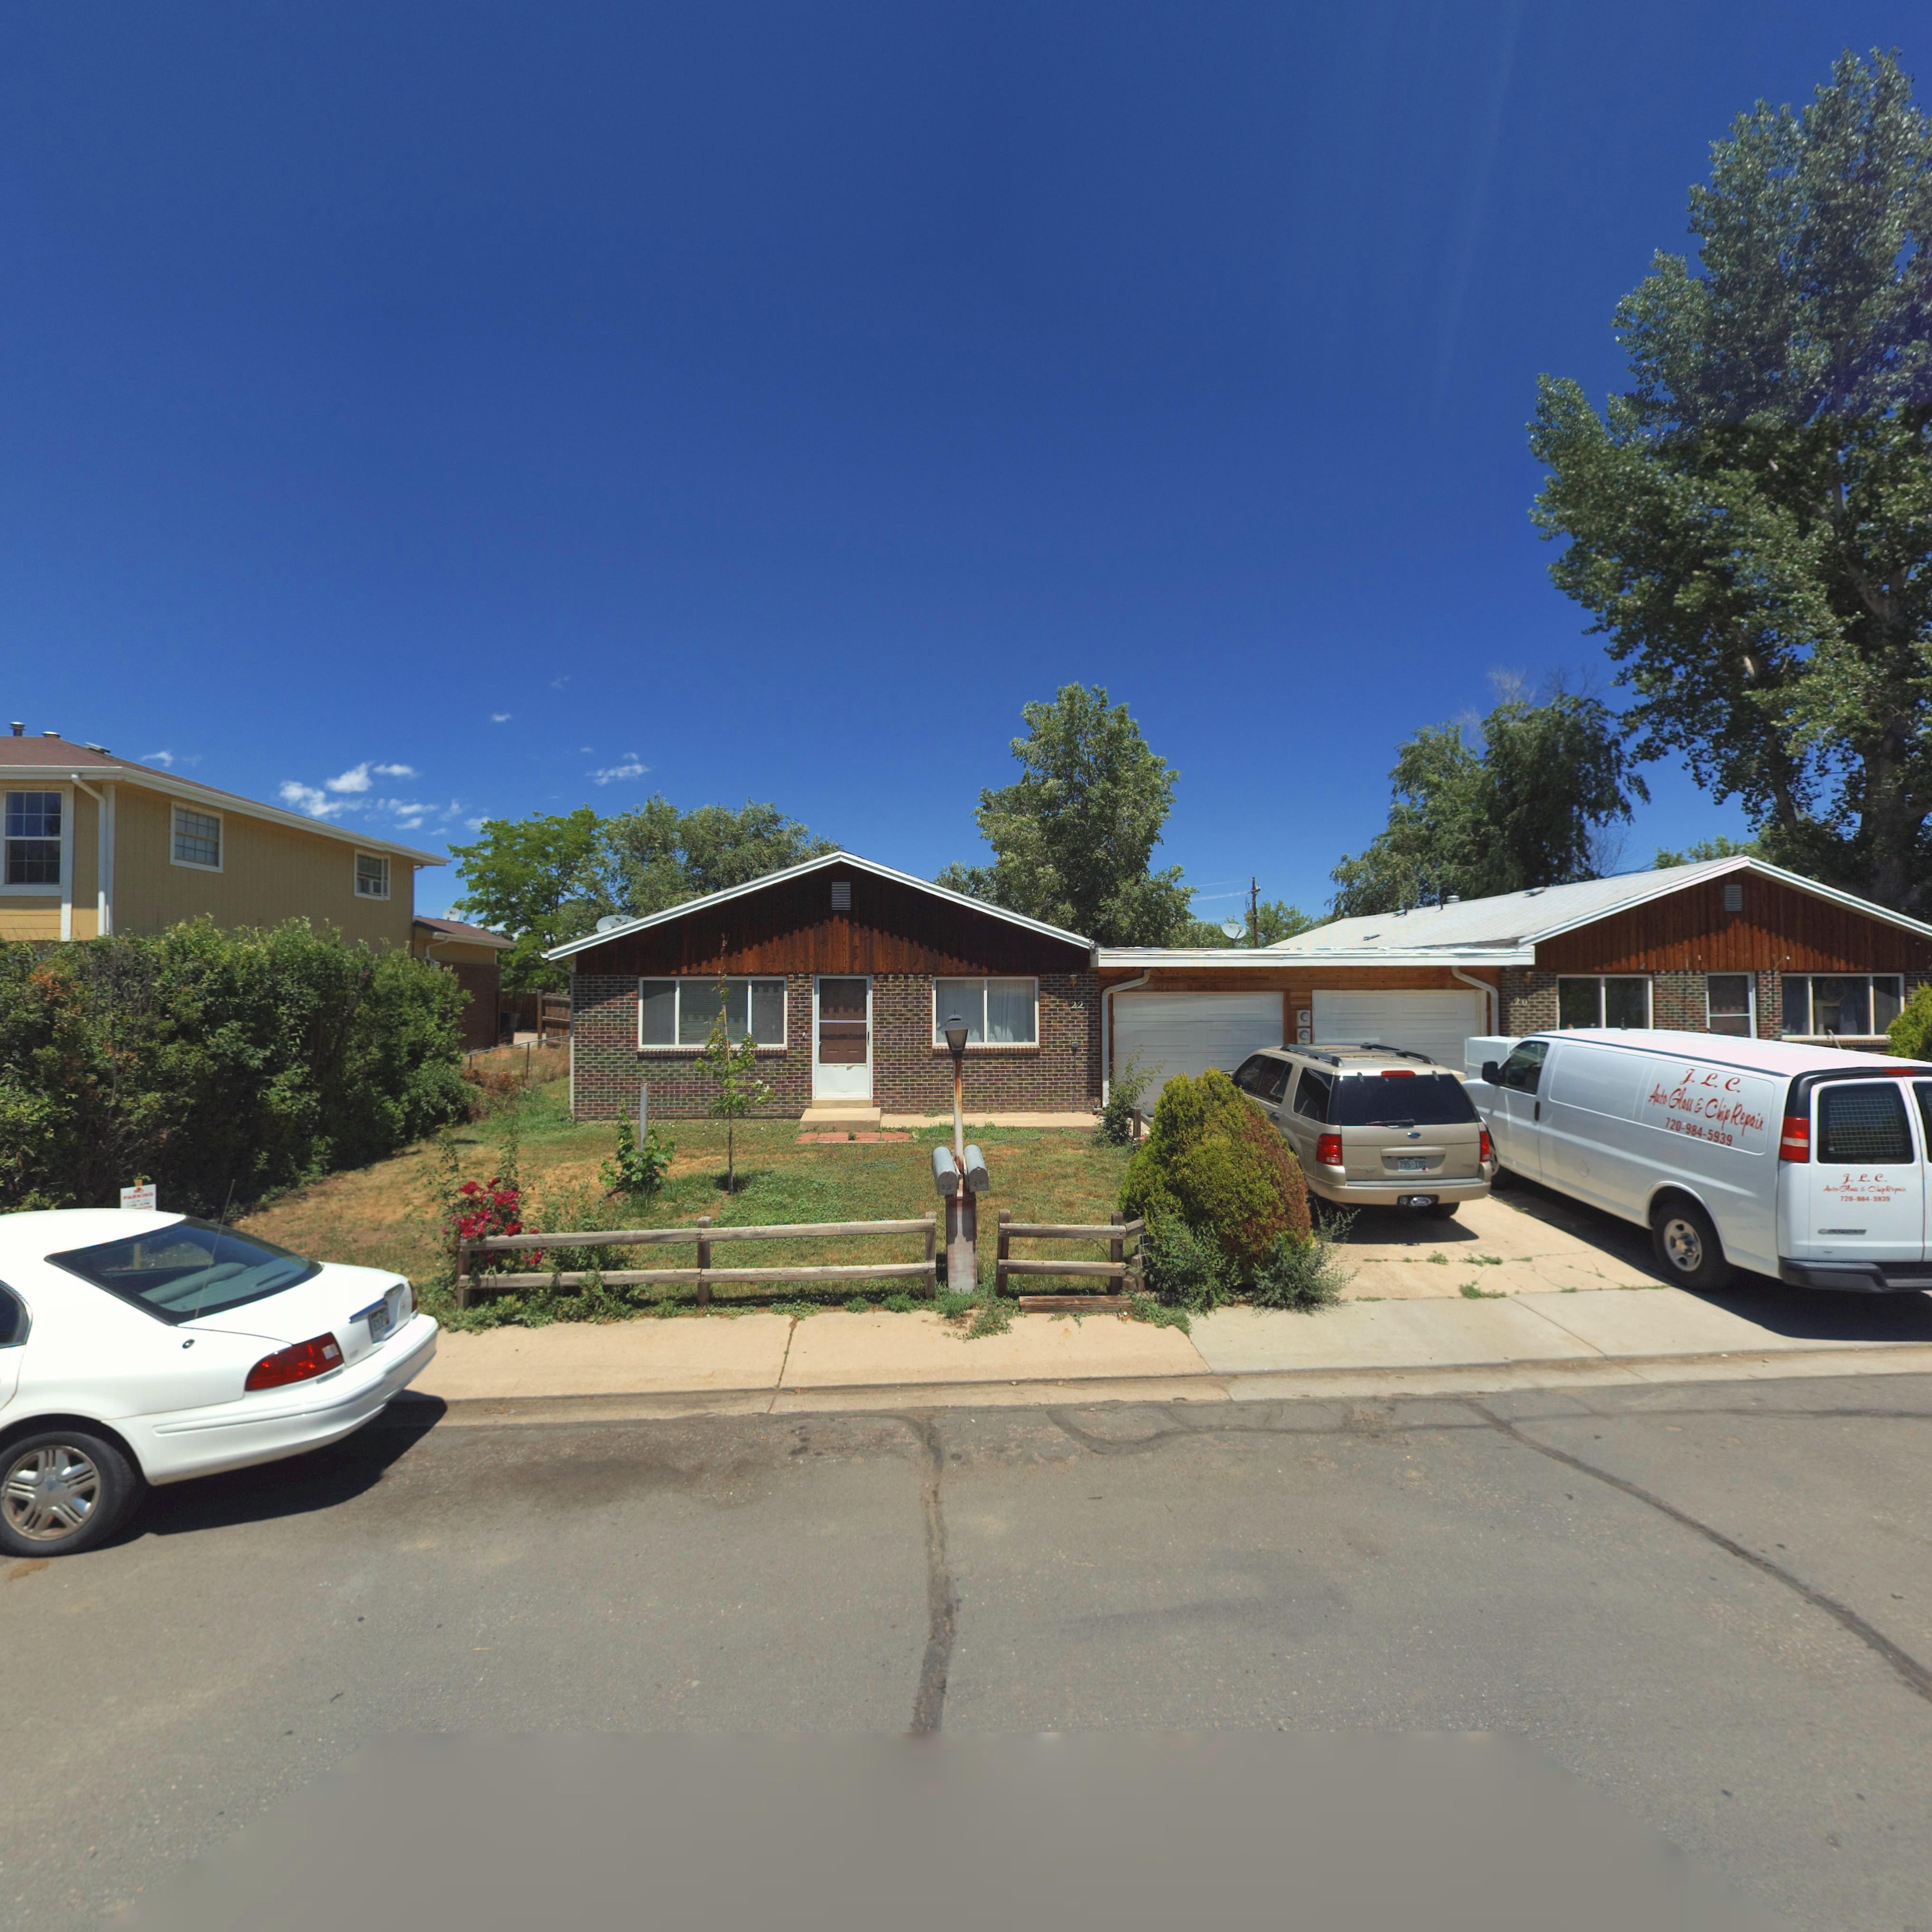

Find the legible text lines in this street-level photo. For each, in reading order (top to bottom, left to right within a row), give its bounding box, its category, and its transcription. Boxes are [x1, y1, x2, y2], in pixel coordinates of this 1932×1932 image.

[1069, 1000, 1084, 1009] StreetNumber: 22